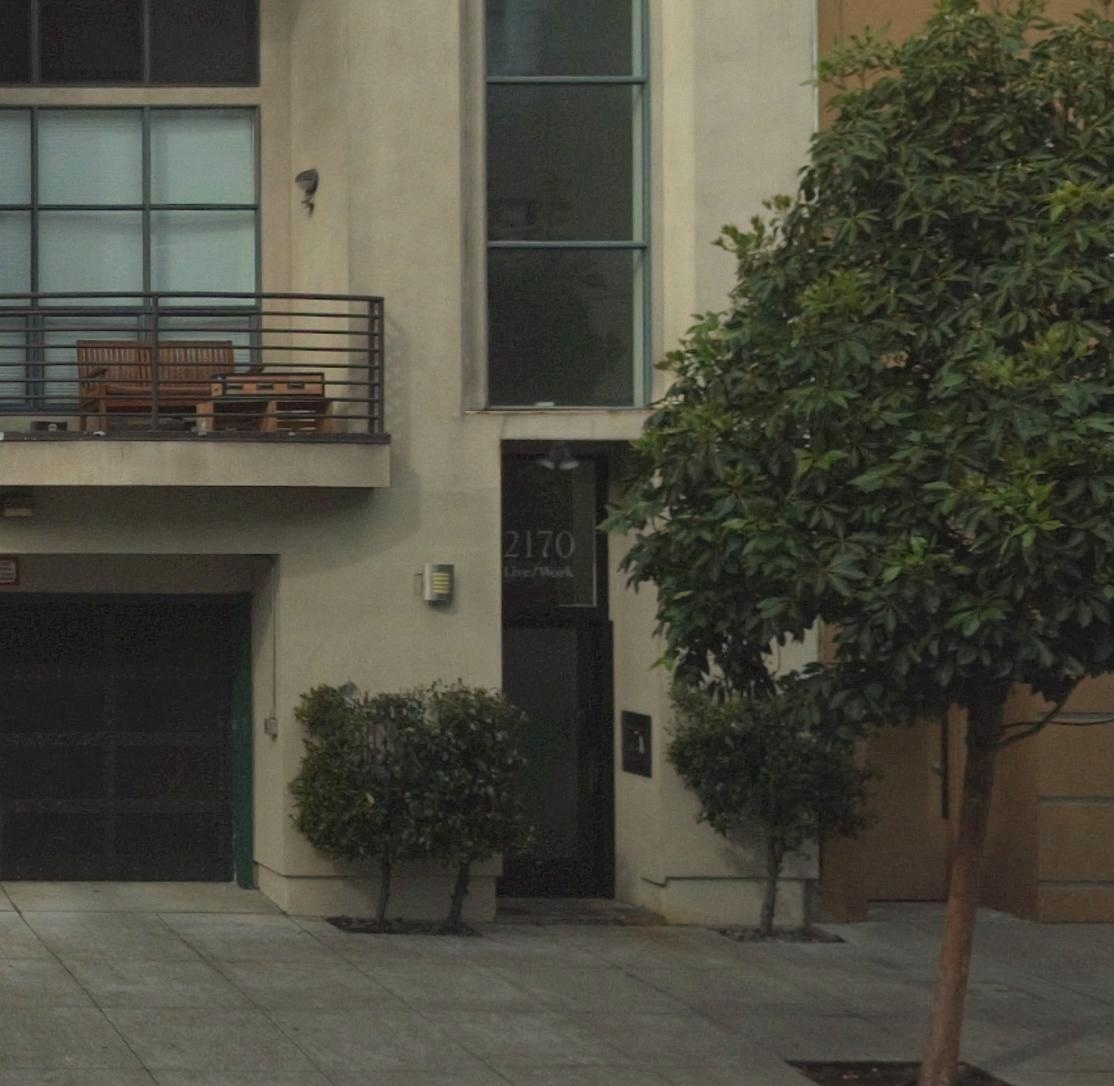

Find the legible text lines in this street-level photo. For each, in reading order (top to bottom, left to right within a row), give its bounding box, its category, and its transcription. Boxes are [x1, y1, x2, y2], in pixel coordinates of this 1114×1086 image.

[503, 528, 577, 560] StreetNumber: 2170
[502, 563, 576, 579] None: Live/Work